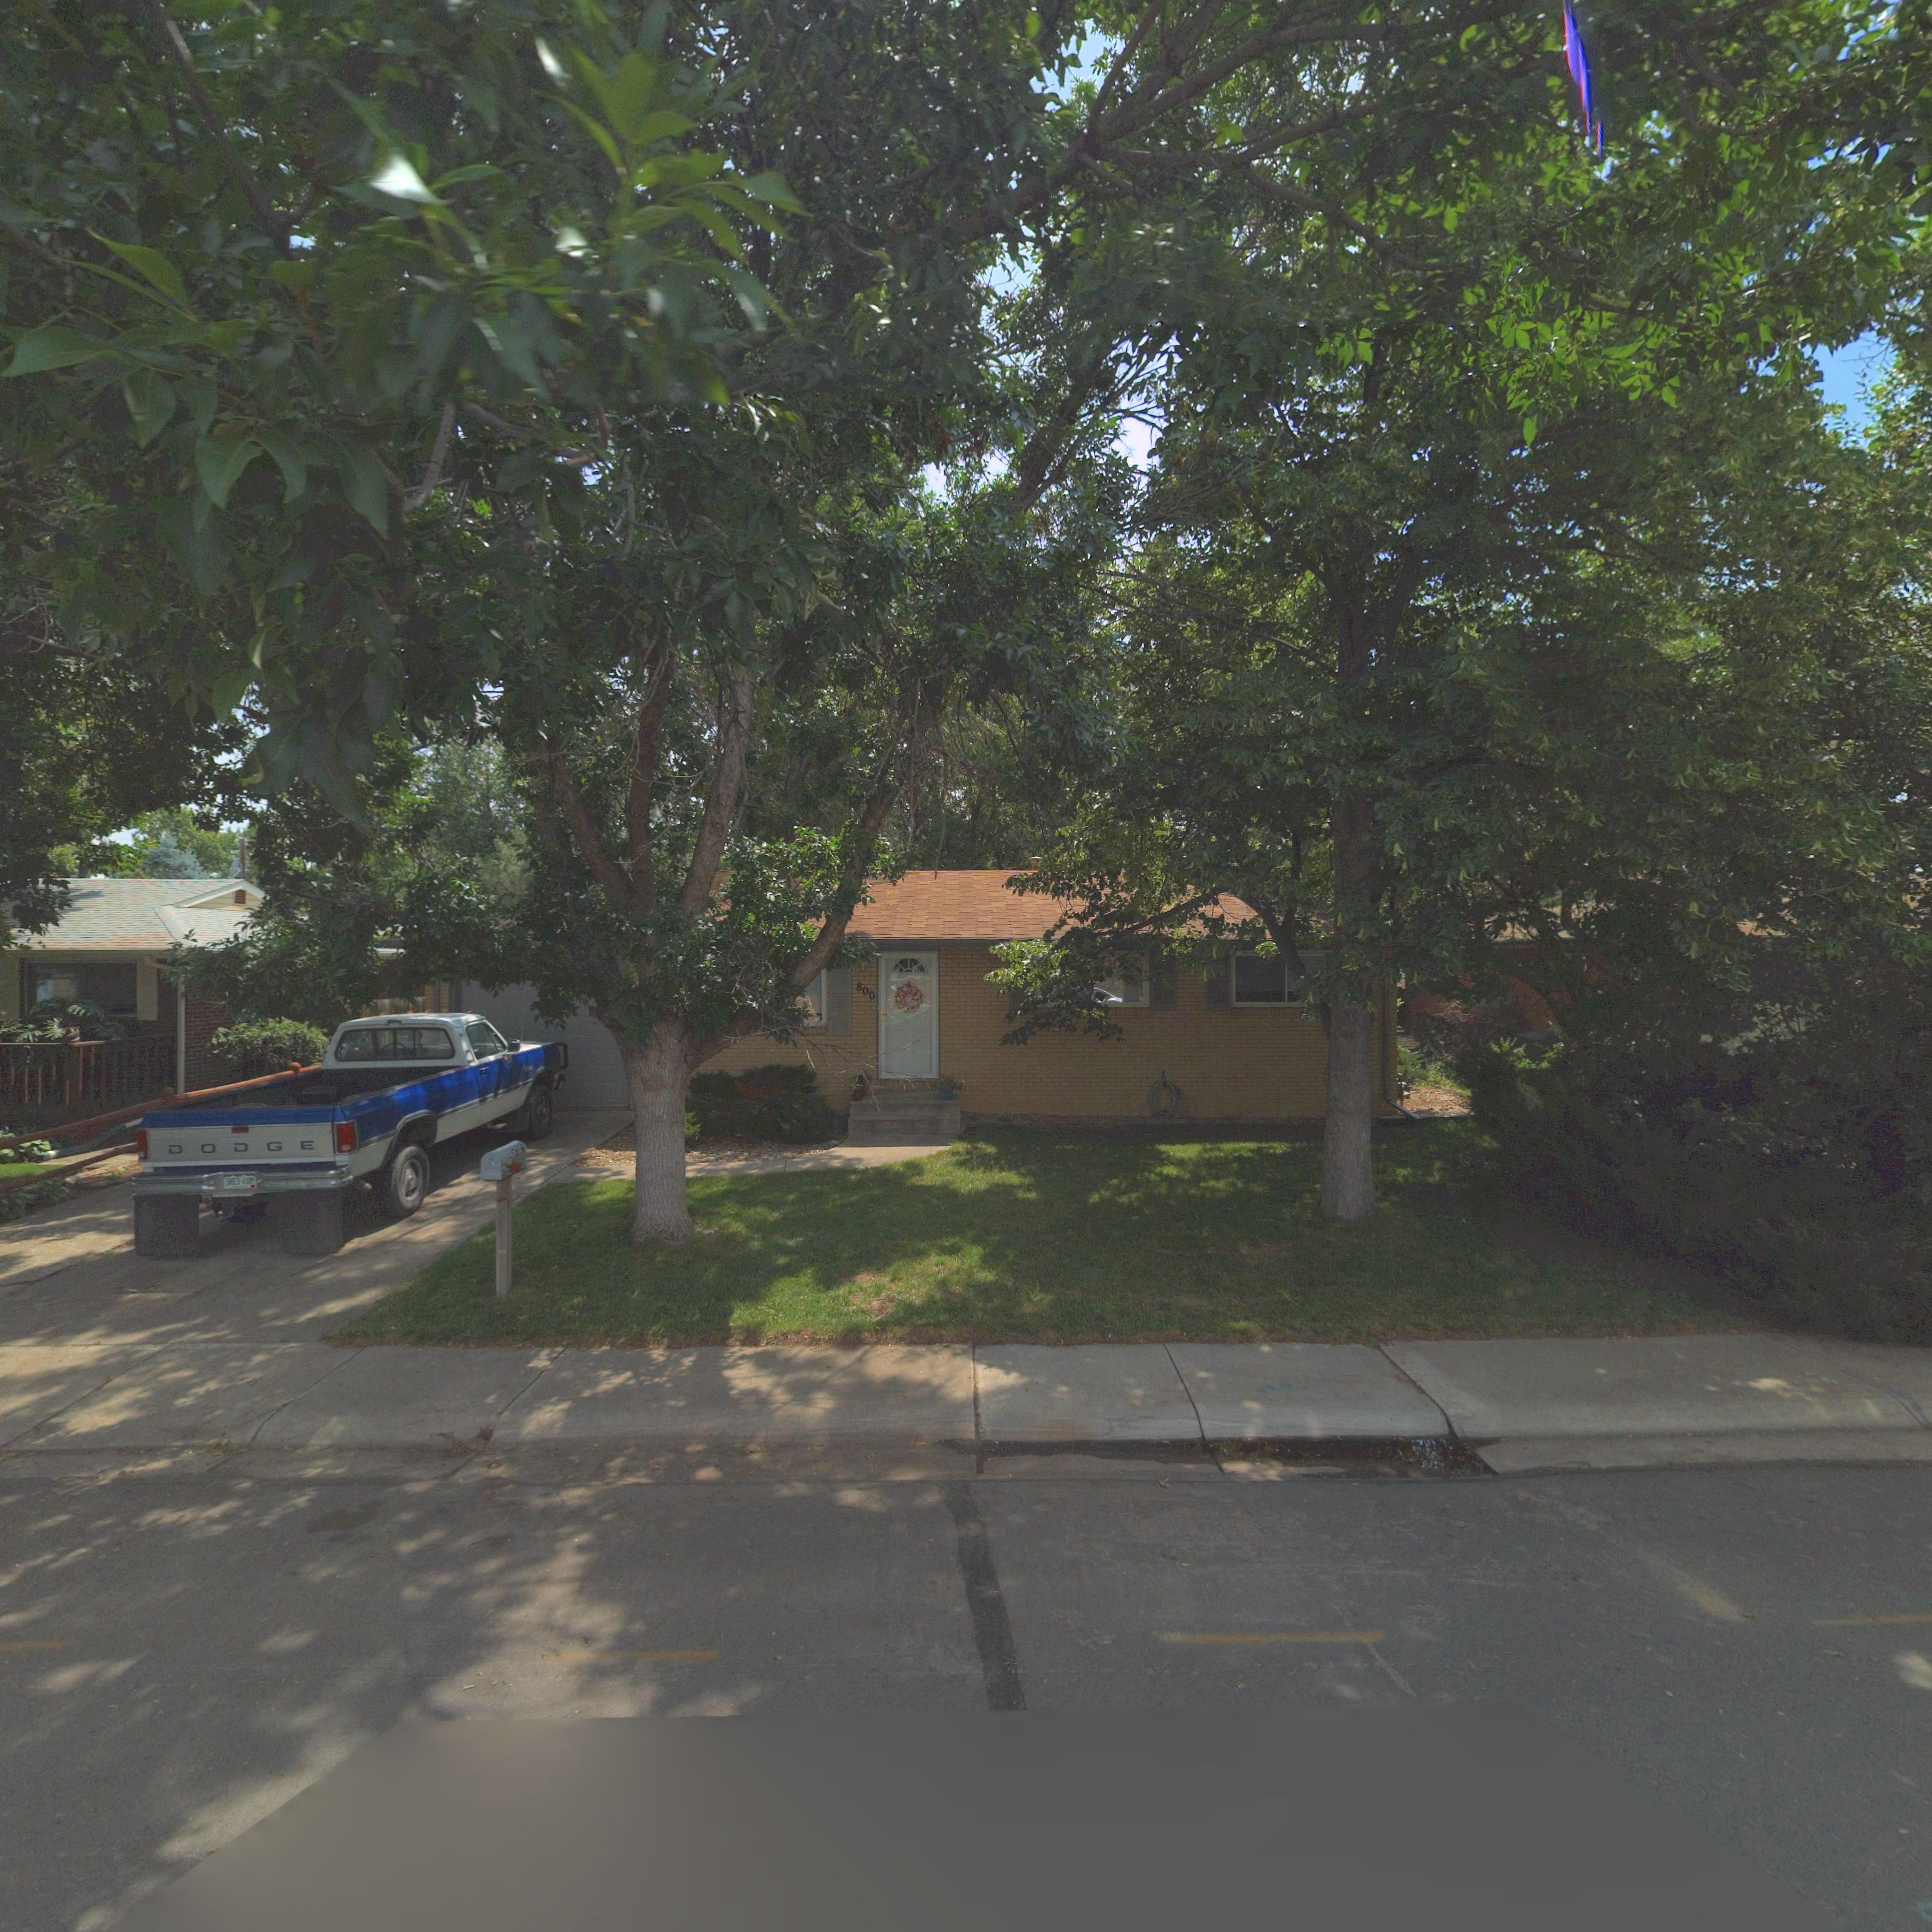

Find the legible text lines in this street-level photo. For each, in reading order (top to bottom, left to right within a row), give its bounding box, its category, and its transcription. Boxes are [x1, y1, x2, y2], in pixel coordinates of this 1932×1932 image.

[855, 981, 876, 1001] StreetNumber: 800